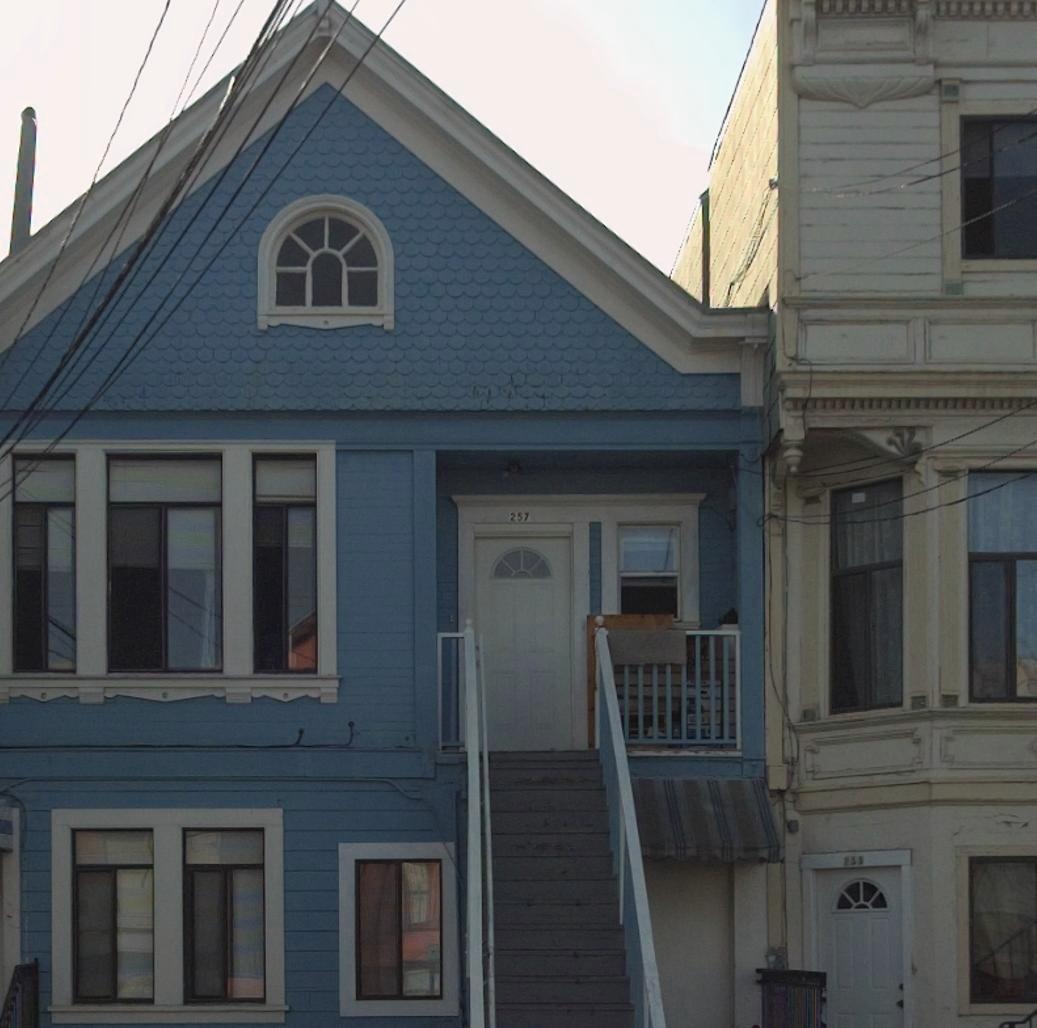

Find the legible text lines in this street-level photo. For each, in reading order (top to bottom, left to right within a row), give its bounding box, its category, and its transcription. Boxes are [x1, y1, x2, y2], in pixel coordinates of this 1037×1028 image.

[508, 511, 531, 522] StreetNumber: 257
[842, 854, 865, 867] None: 2*5